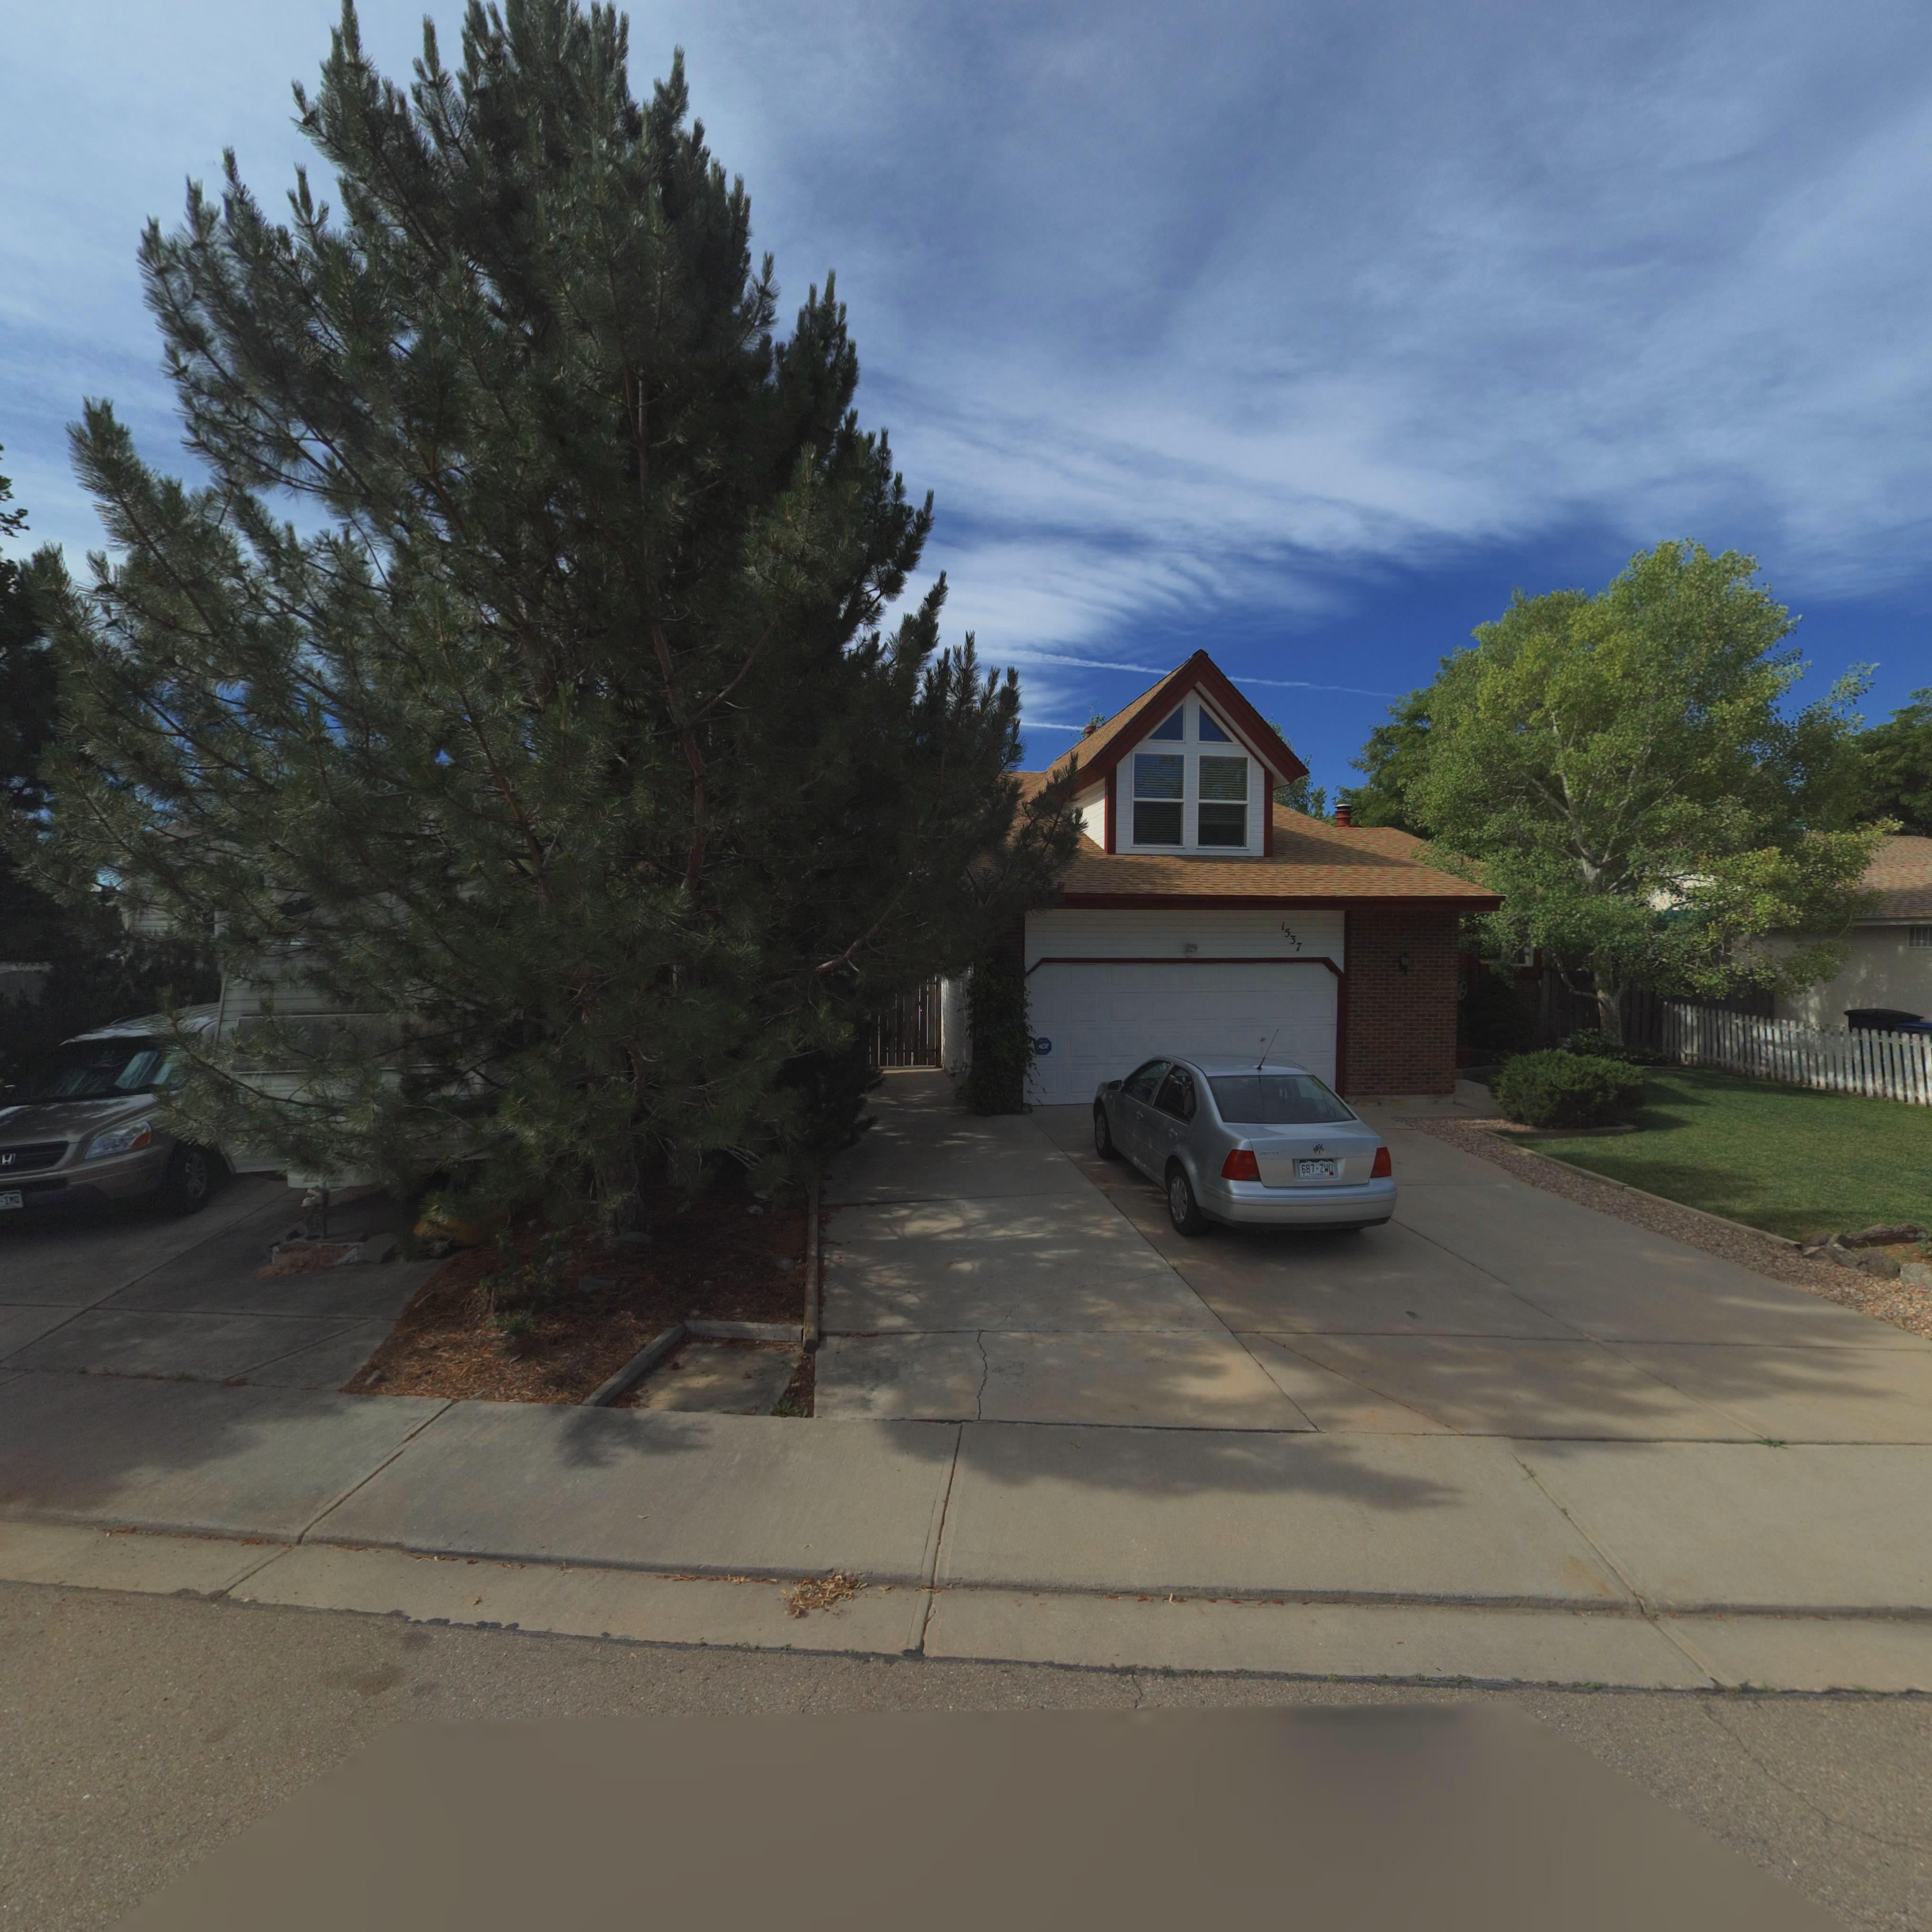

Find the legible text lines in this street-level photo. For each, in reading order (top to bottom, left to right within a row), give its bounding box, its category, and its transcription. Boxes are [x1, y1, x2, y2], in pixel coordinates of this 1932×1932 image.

[1281, 921, 1303, 952] StreetNumber: 1537